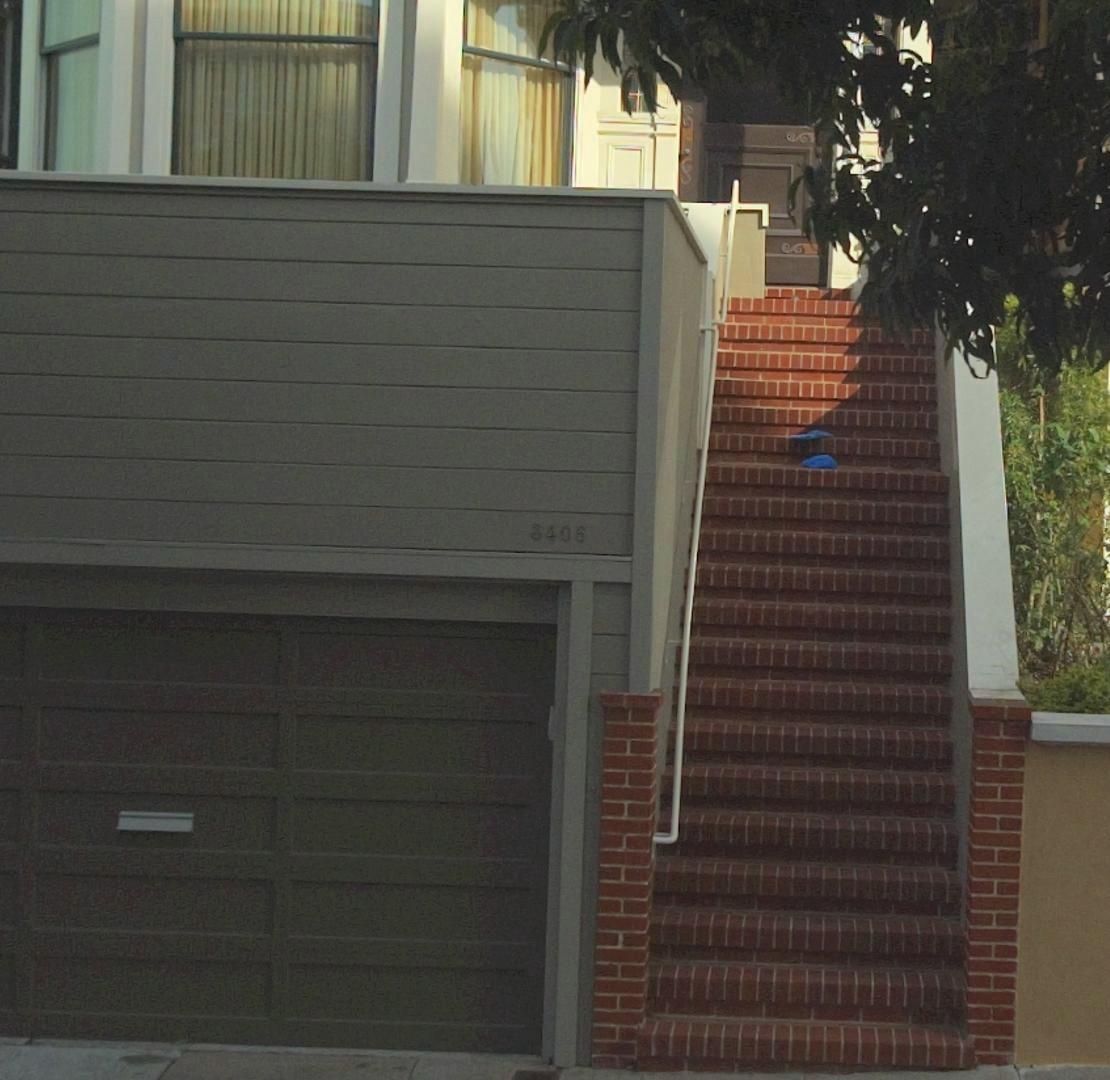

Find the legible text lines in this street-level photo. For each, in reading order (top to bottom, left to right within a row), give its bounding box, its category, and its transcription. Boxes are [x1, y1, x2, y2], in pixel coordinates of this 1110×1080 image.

[528, 520, 588, 546] StreetNumber: 3406